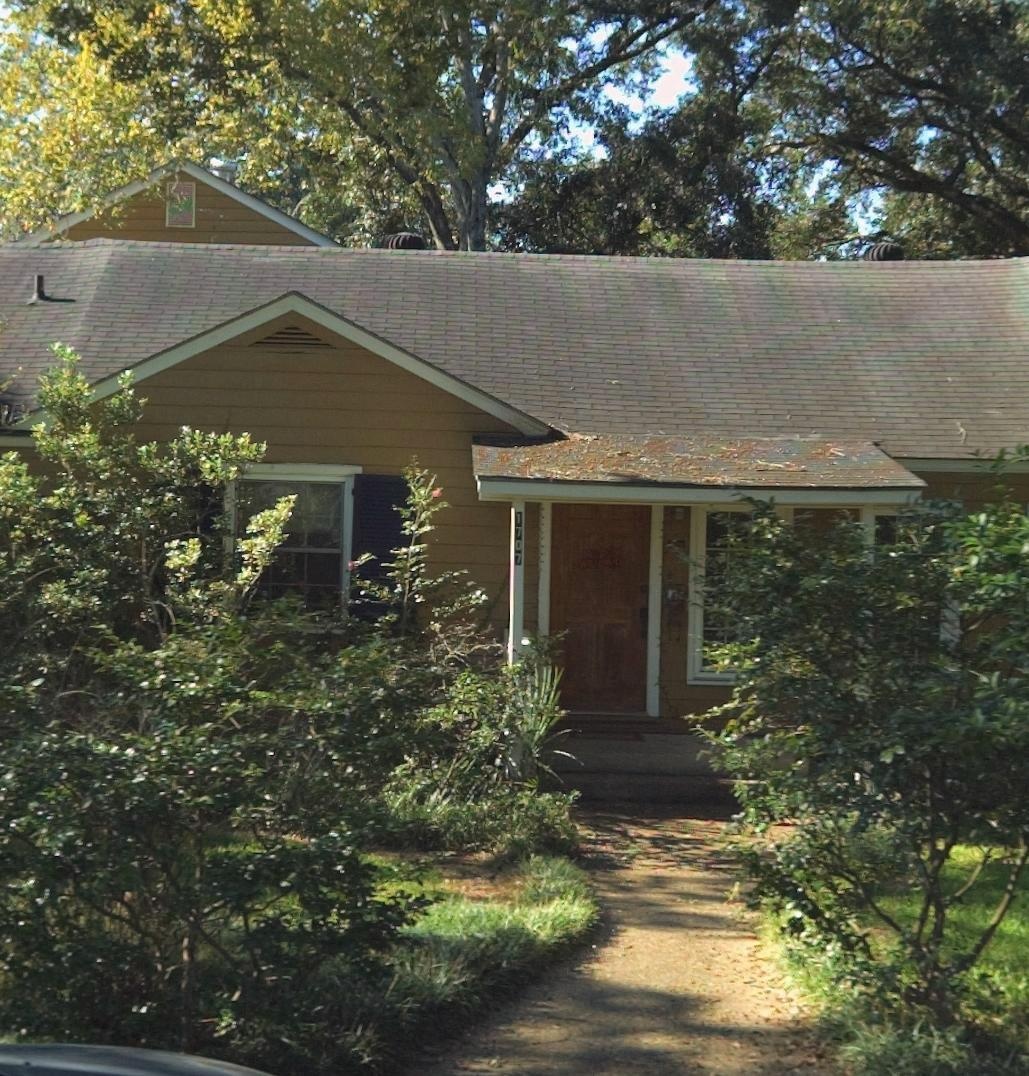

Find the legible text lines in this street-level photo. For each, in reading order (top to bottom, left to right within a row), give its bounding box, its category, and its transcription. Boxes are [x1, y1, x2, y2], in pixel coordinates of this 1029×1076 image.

[513, 512, 524, 565] StreetNumber: 1707